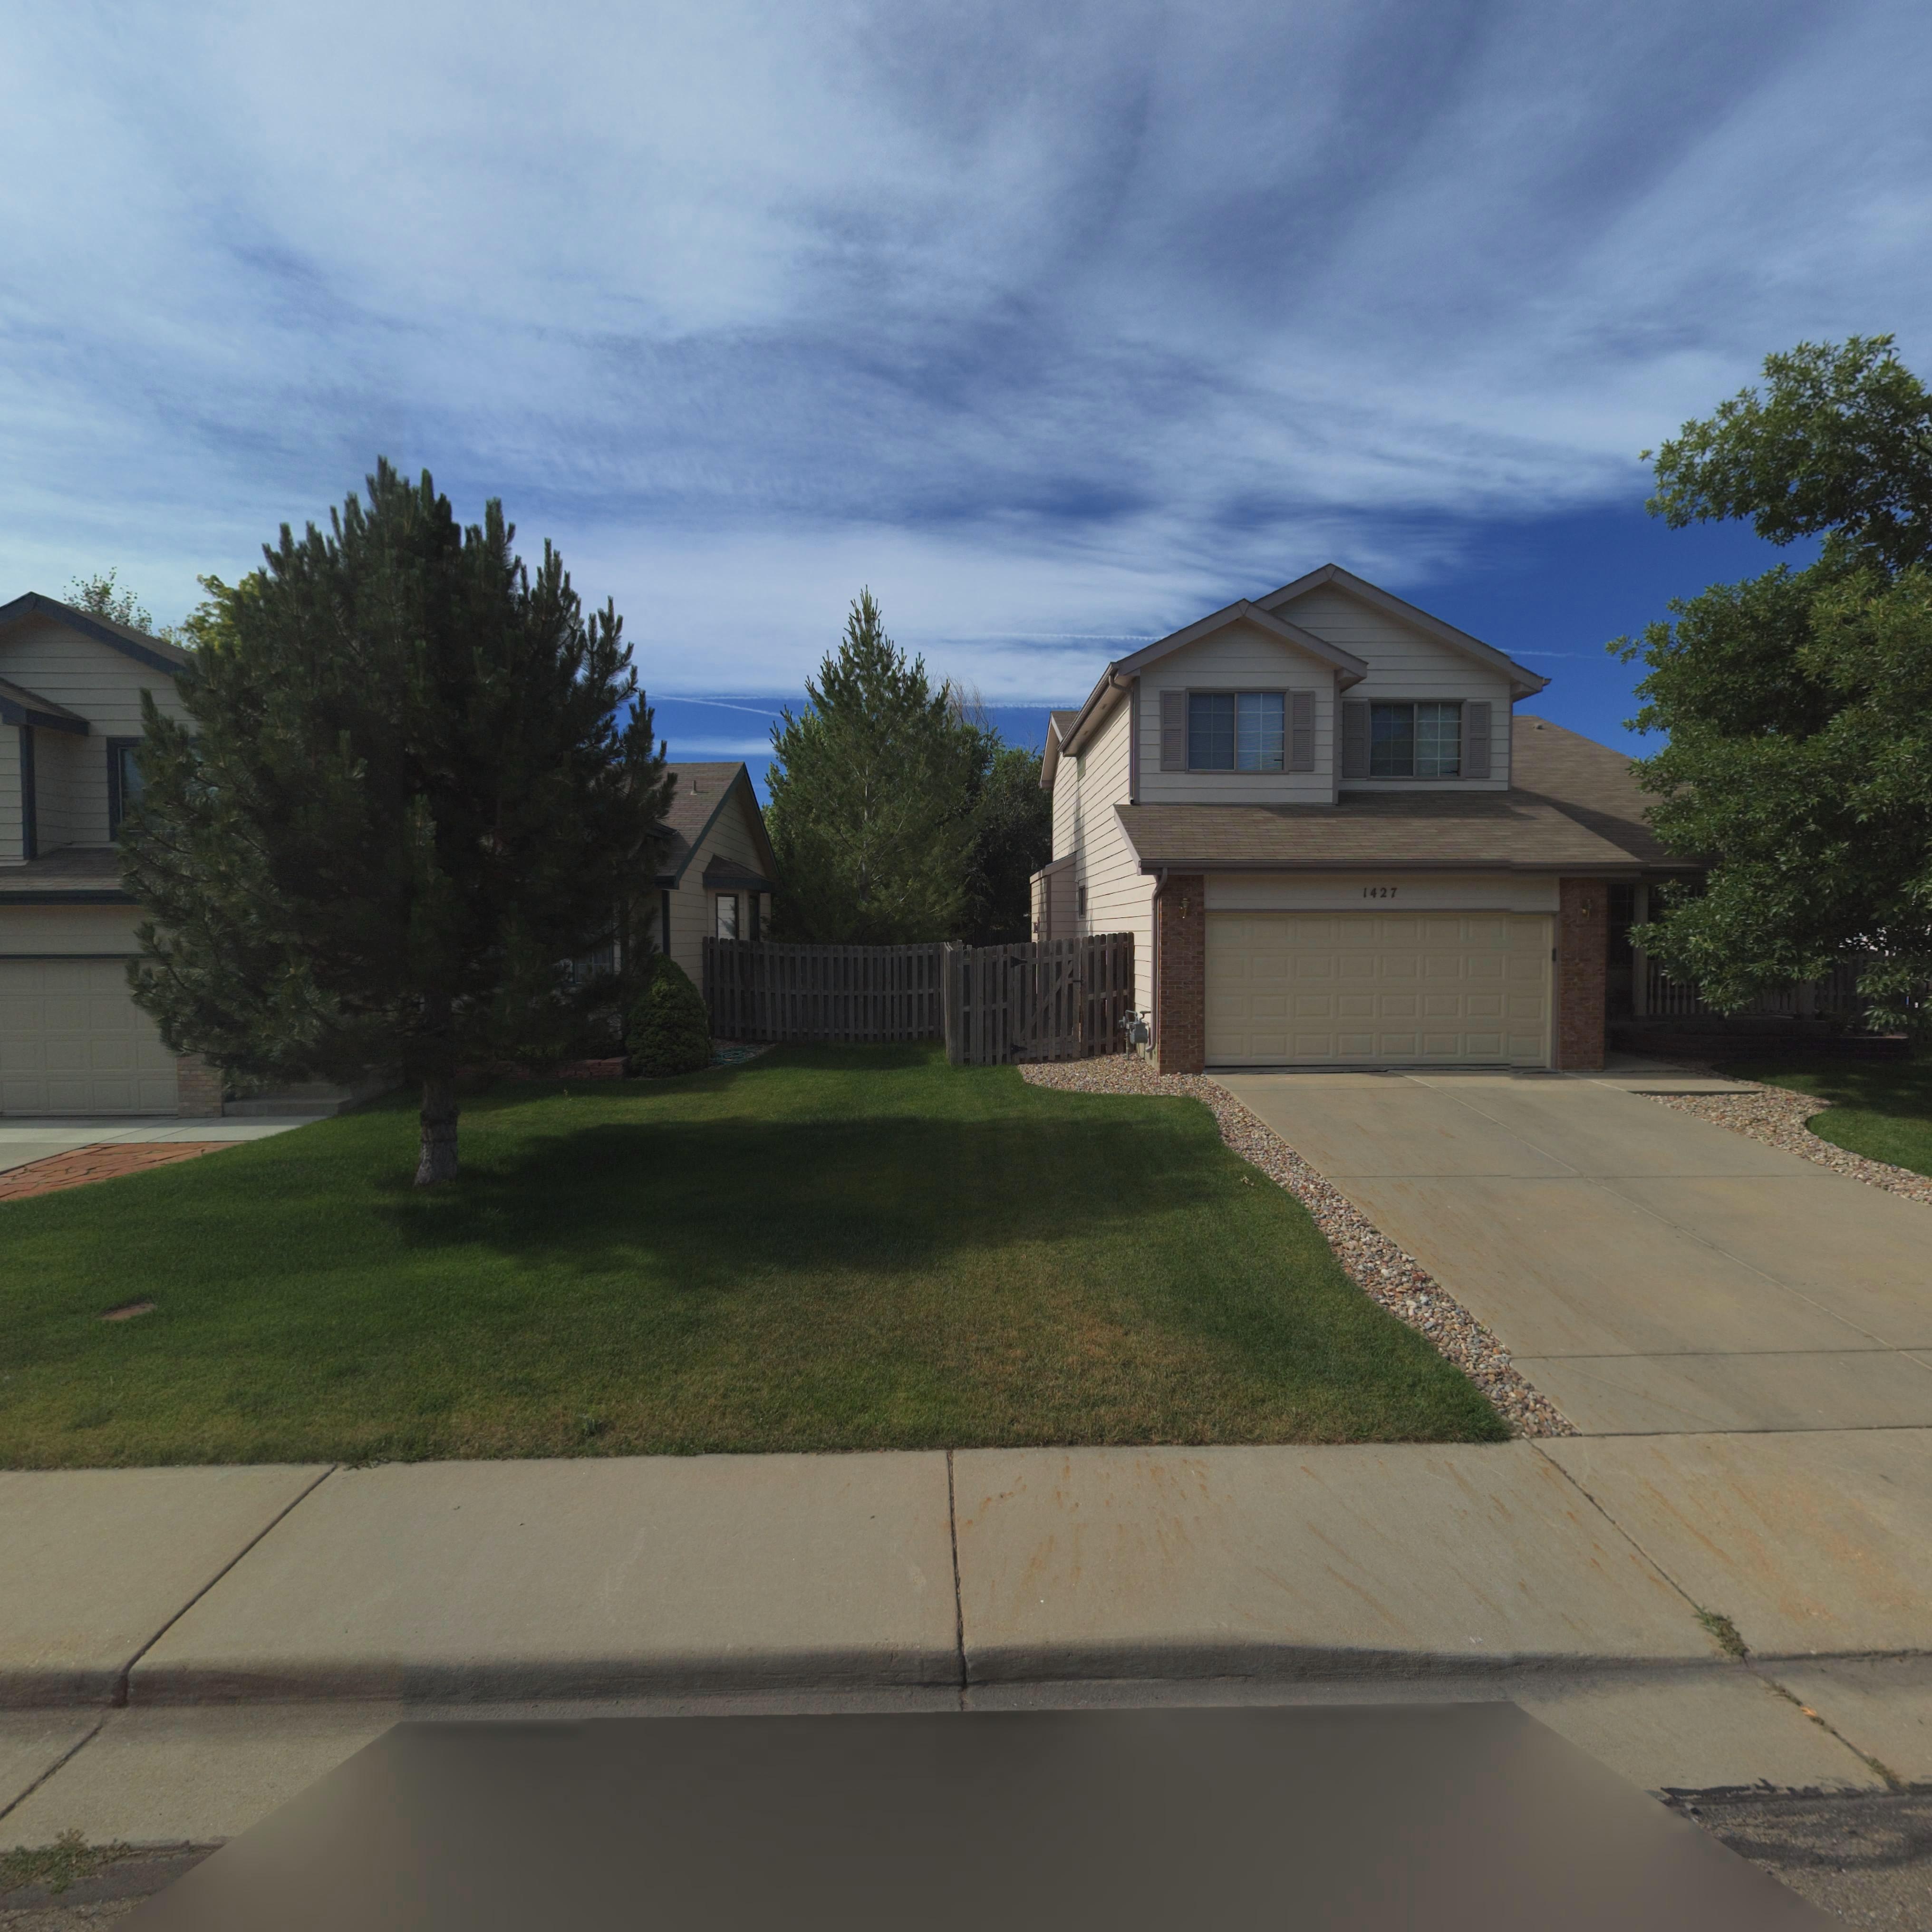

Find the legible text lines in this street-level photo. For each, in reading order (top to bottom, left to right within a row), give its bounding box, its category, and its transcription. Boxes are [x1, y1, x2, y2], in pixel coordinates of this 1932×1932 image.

[1362, 886, 1397, 898] StreetNumber: 1427